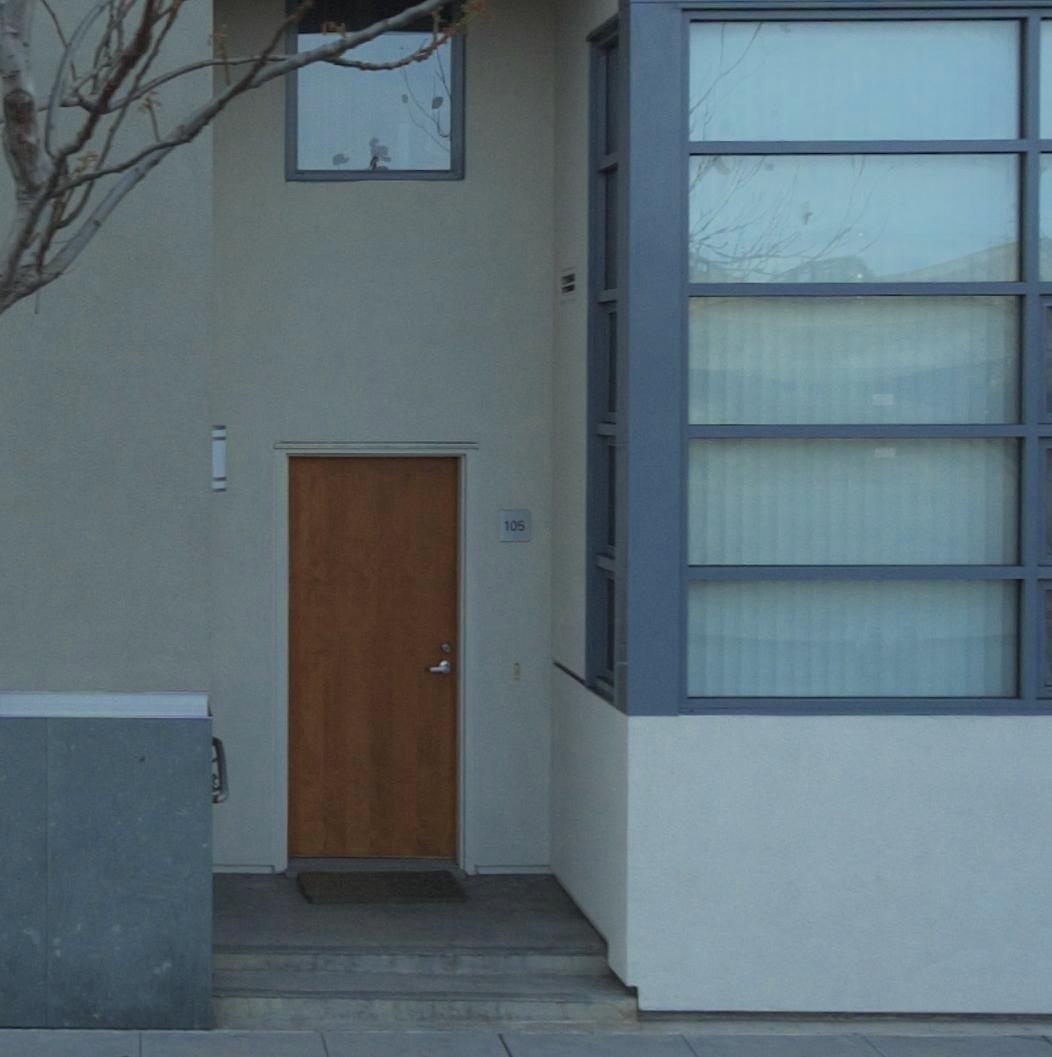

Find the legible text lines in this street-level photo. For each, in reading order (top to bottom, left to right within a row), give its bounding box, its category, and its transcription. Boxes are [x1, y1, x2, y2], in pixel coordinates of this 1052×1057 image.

[502, 518, 527, 534] StreetNumber: 105